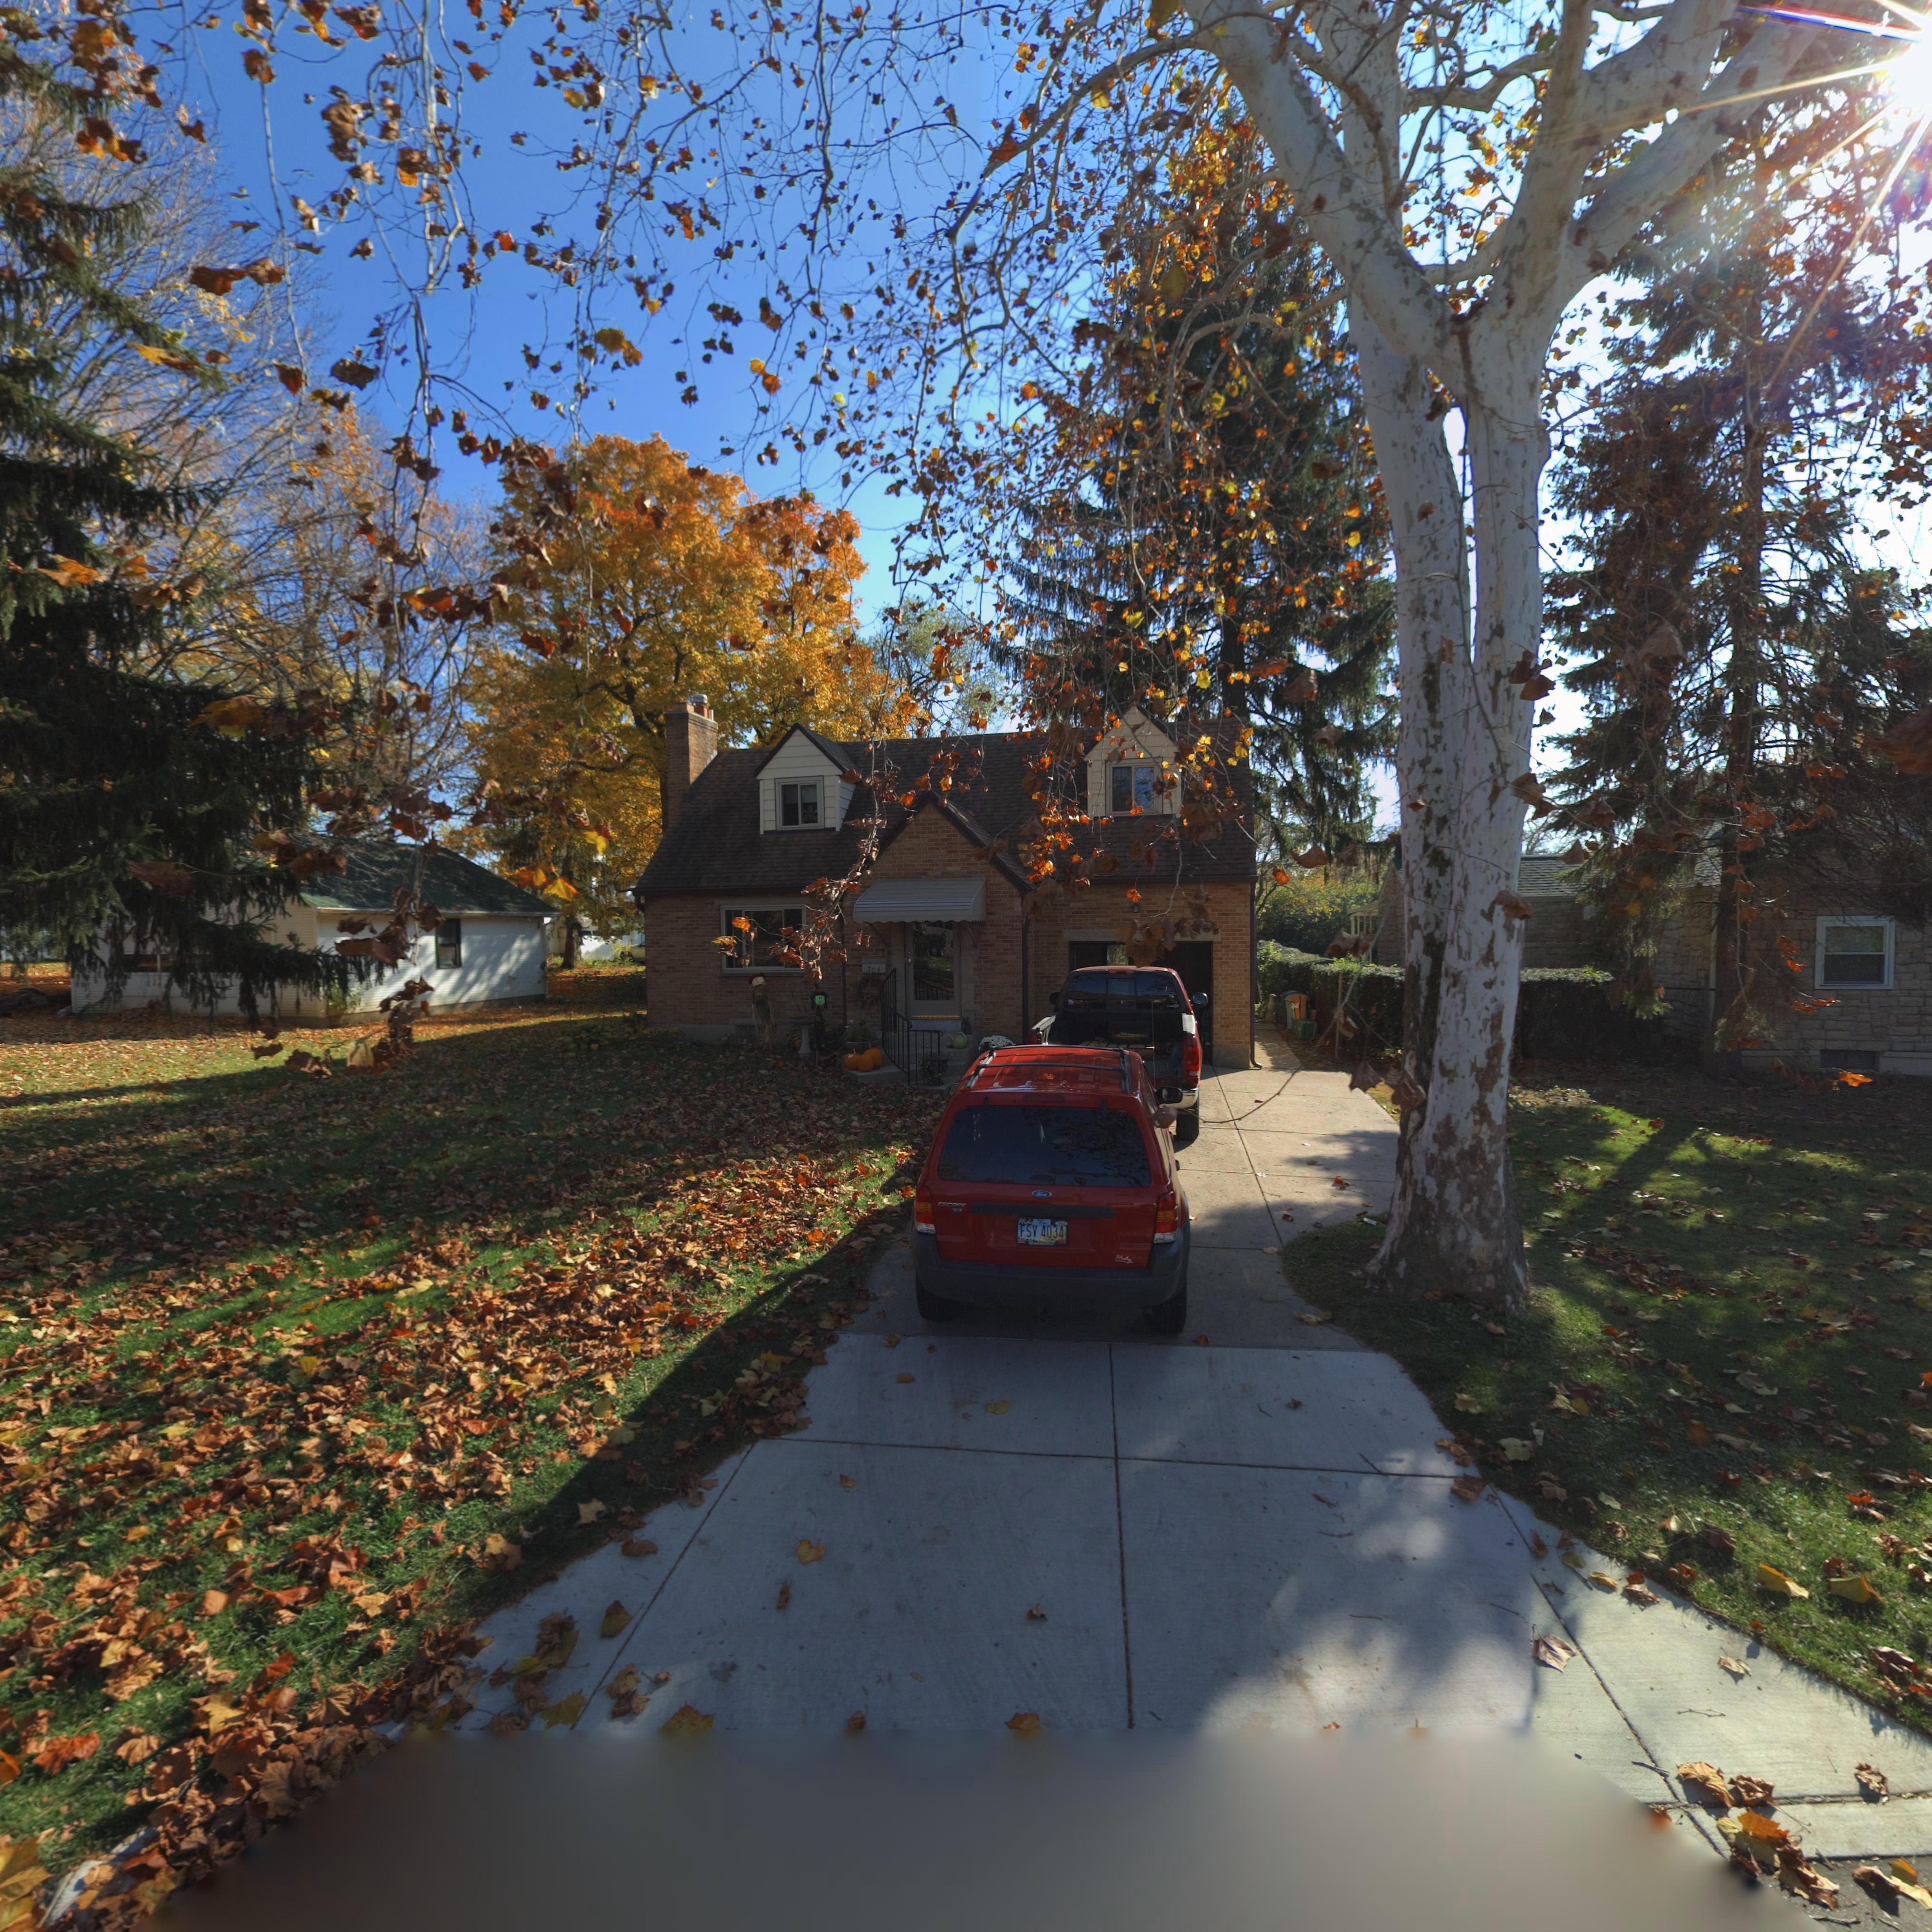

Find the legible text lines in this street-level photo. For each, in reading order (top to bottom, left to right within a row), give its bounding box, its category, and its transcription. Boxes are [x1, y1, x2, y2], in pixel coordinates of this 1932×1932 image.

[867, 966, 882, 974] StreetNumber: 704